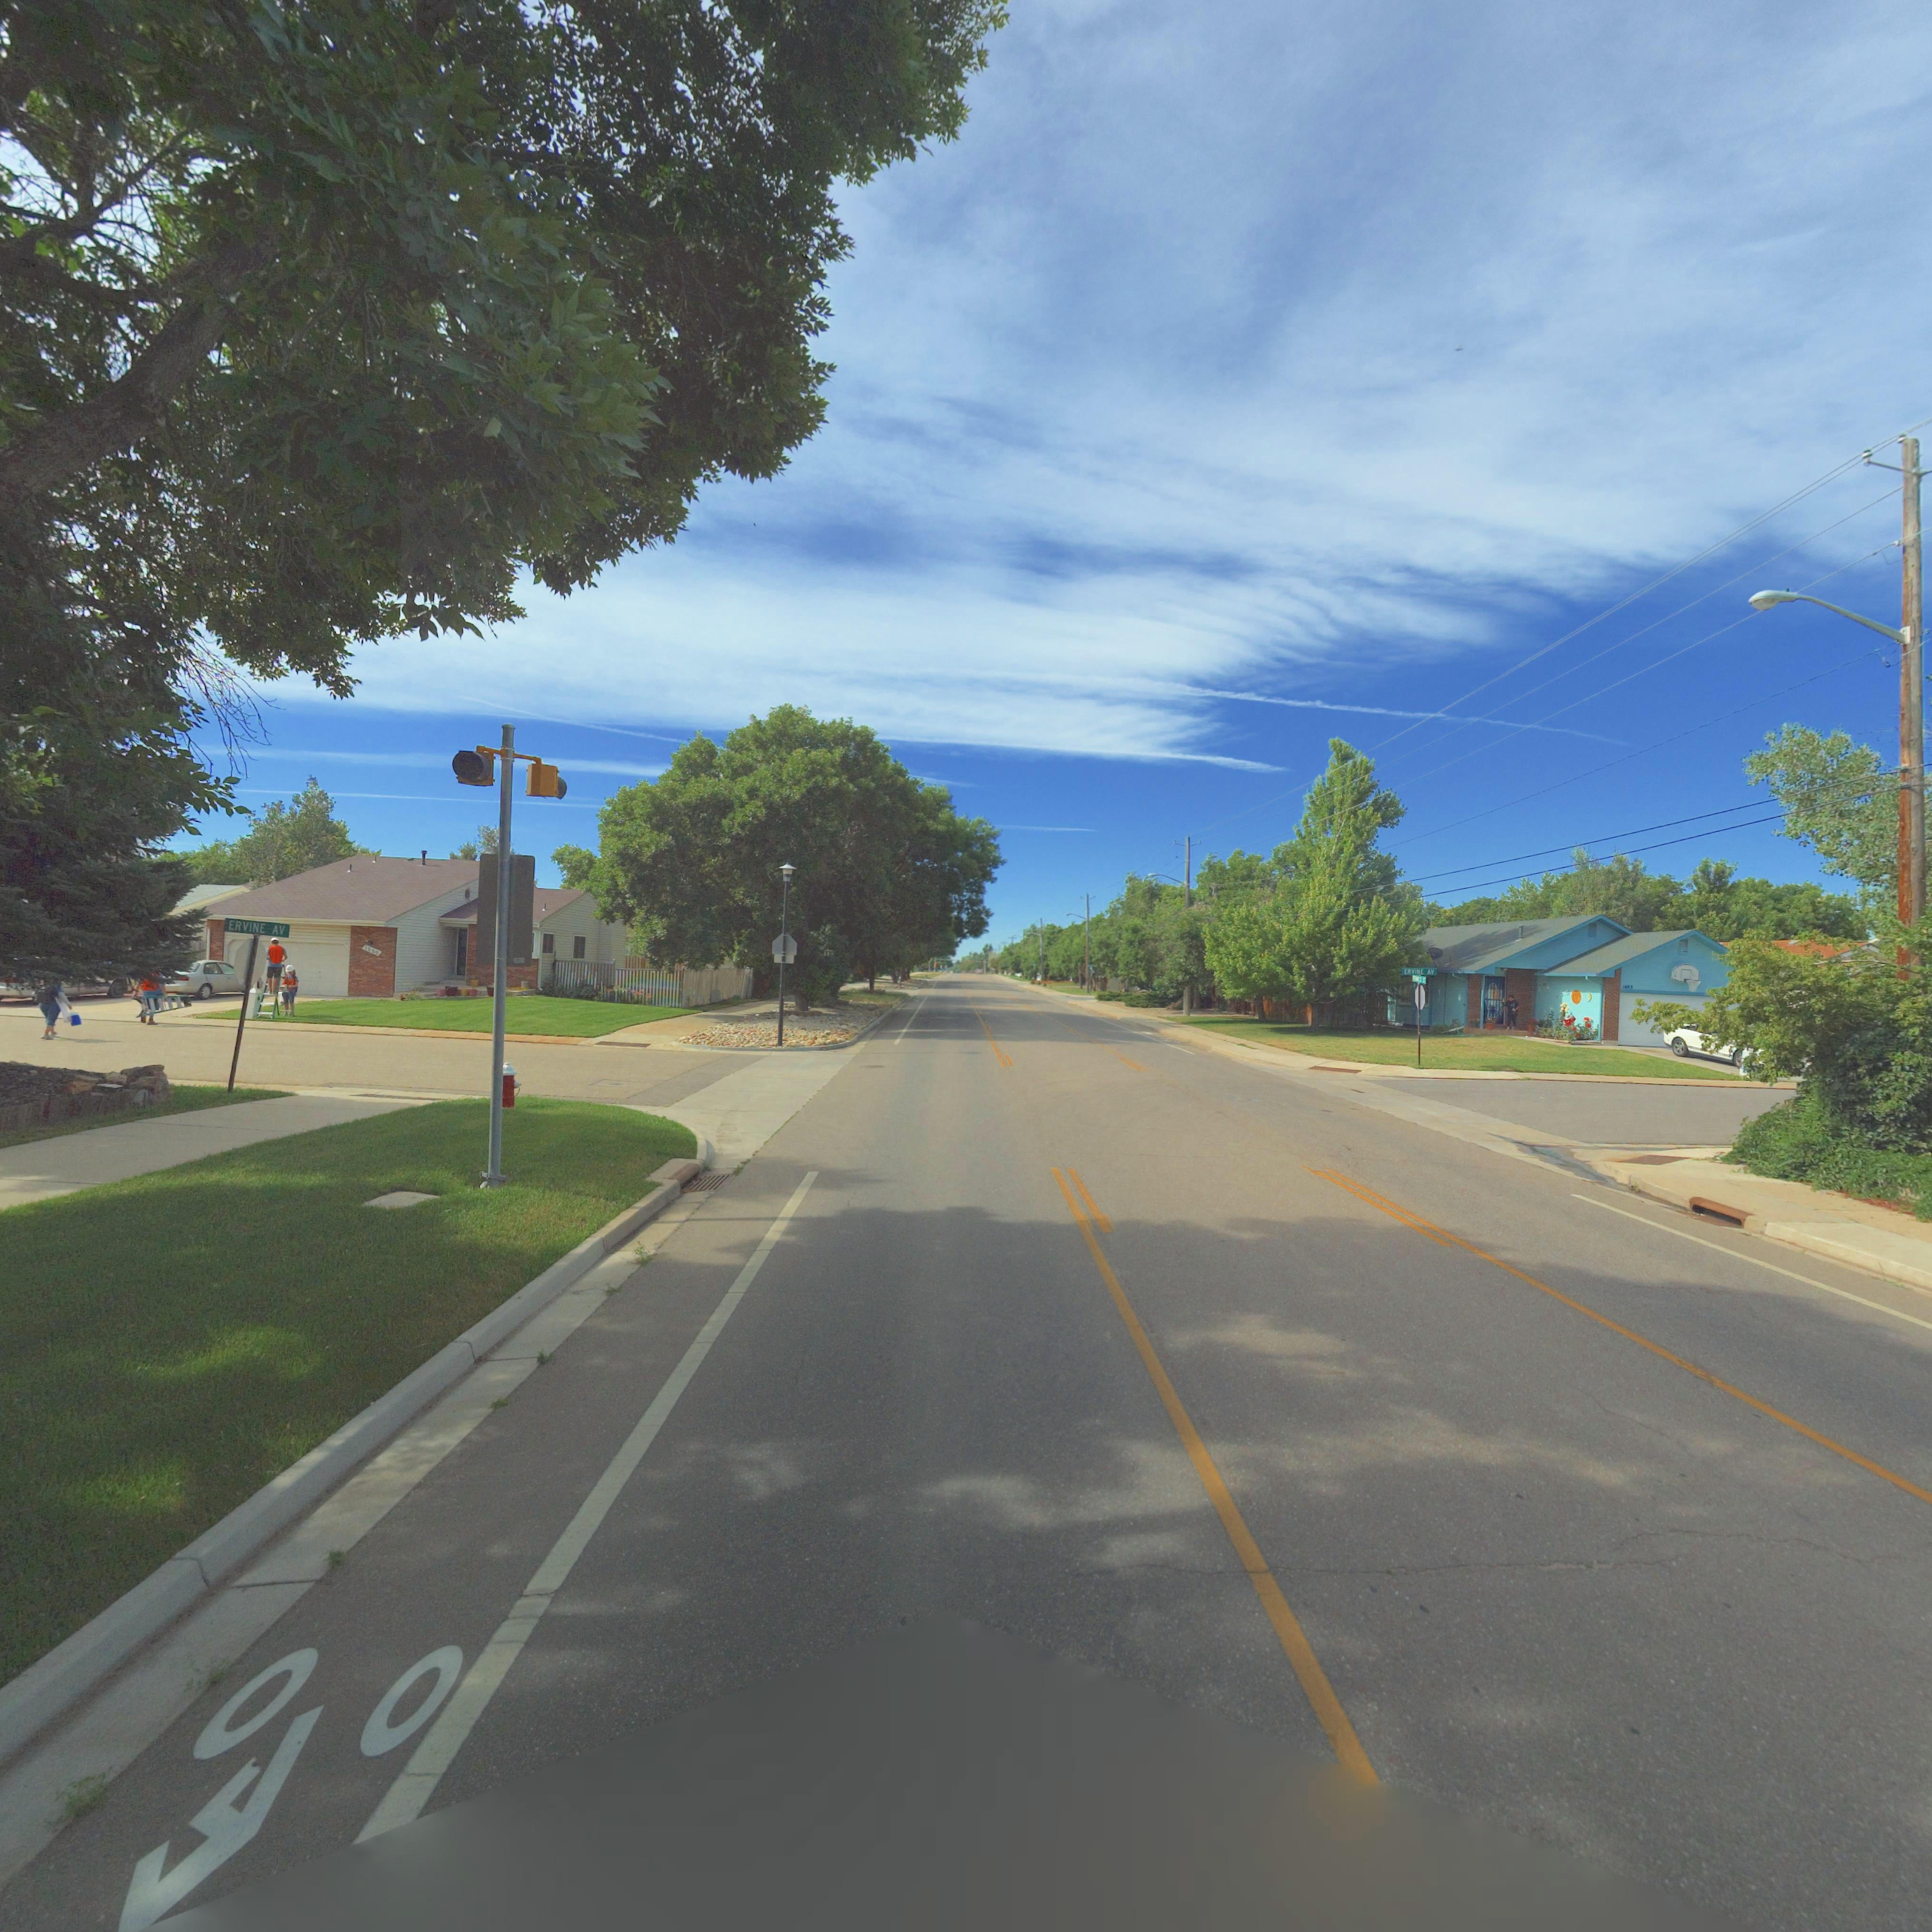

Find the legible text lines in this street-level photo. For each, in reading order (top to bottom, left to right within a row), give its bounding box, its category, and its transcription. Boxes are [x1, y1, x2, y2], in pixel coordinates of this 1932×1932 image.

[228, 919, 286, 936] StreetName: ERVINE AV
[365, 945, 379, 955] StreetNumber: 1555
[1404, 968, 1435, 975] StreetName: ERVINE AV
[1412, 975, 1426, 984] StreetName: FRANCIS ST
[1622, 985, 1633, 989] StreetNumber: 1603